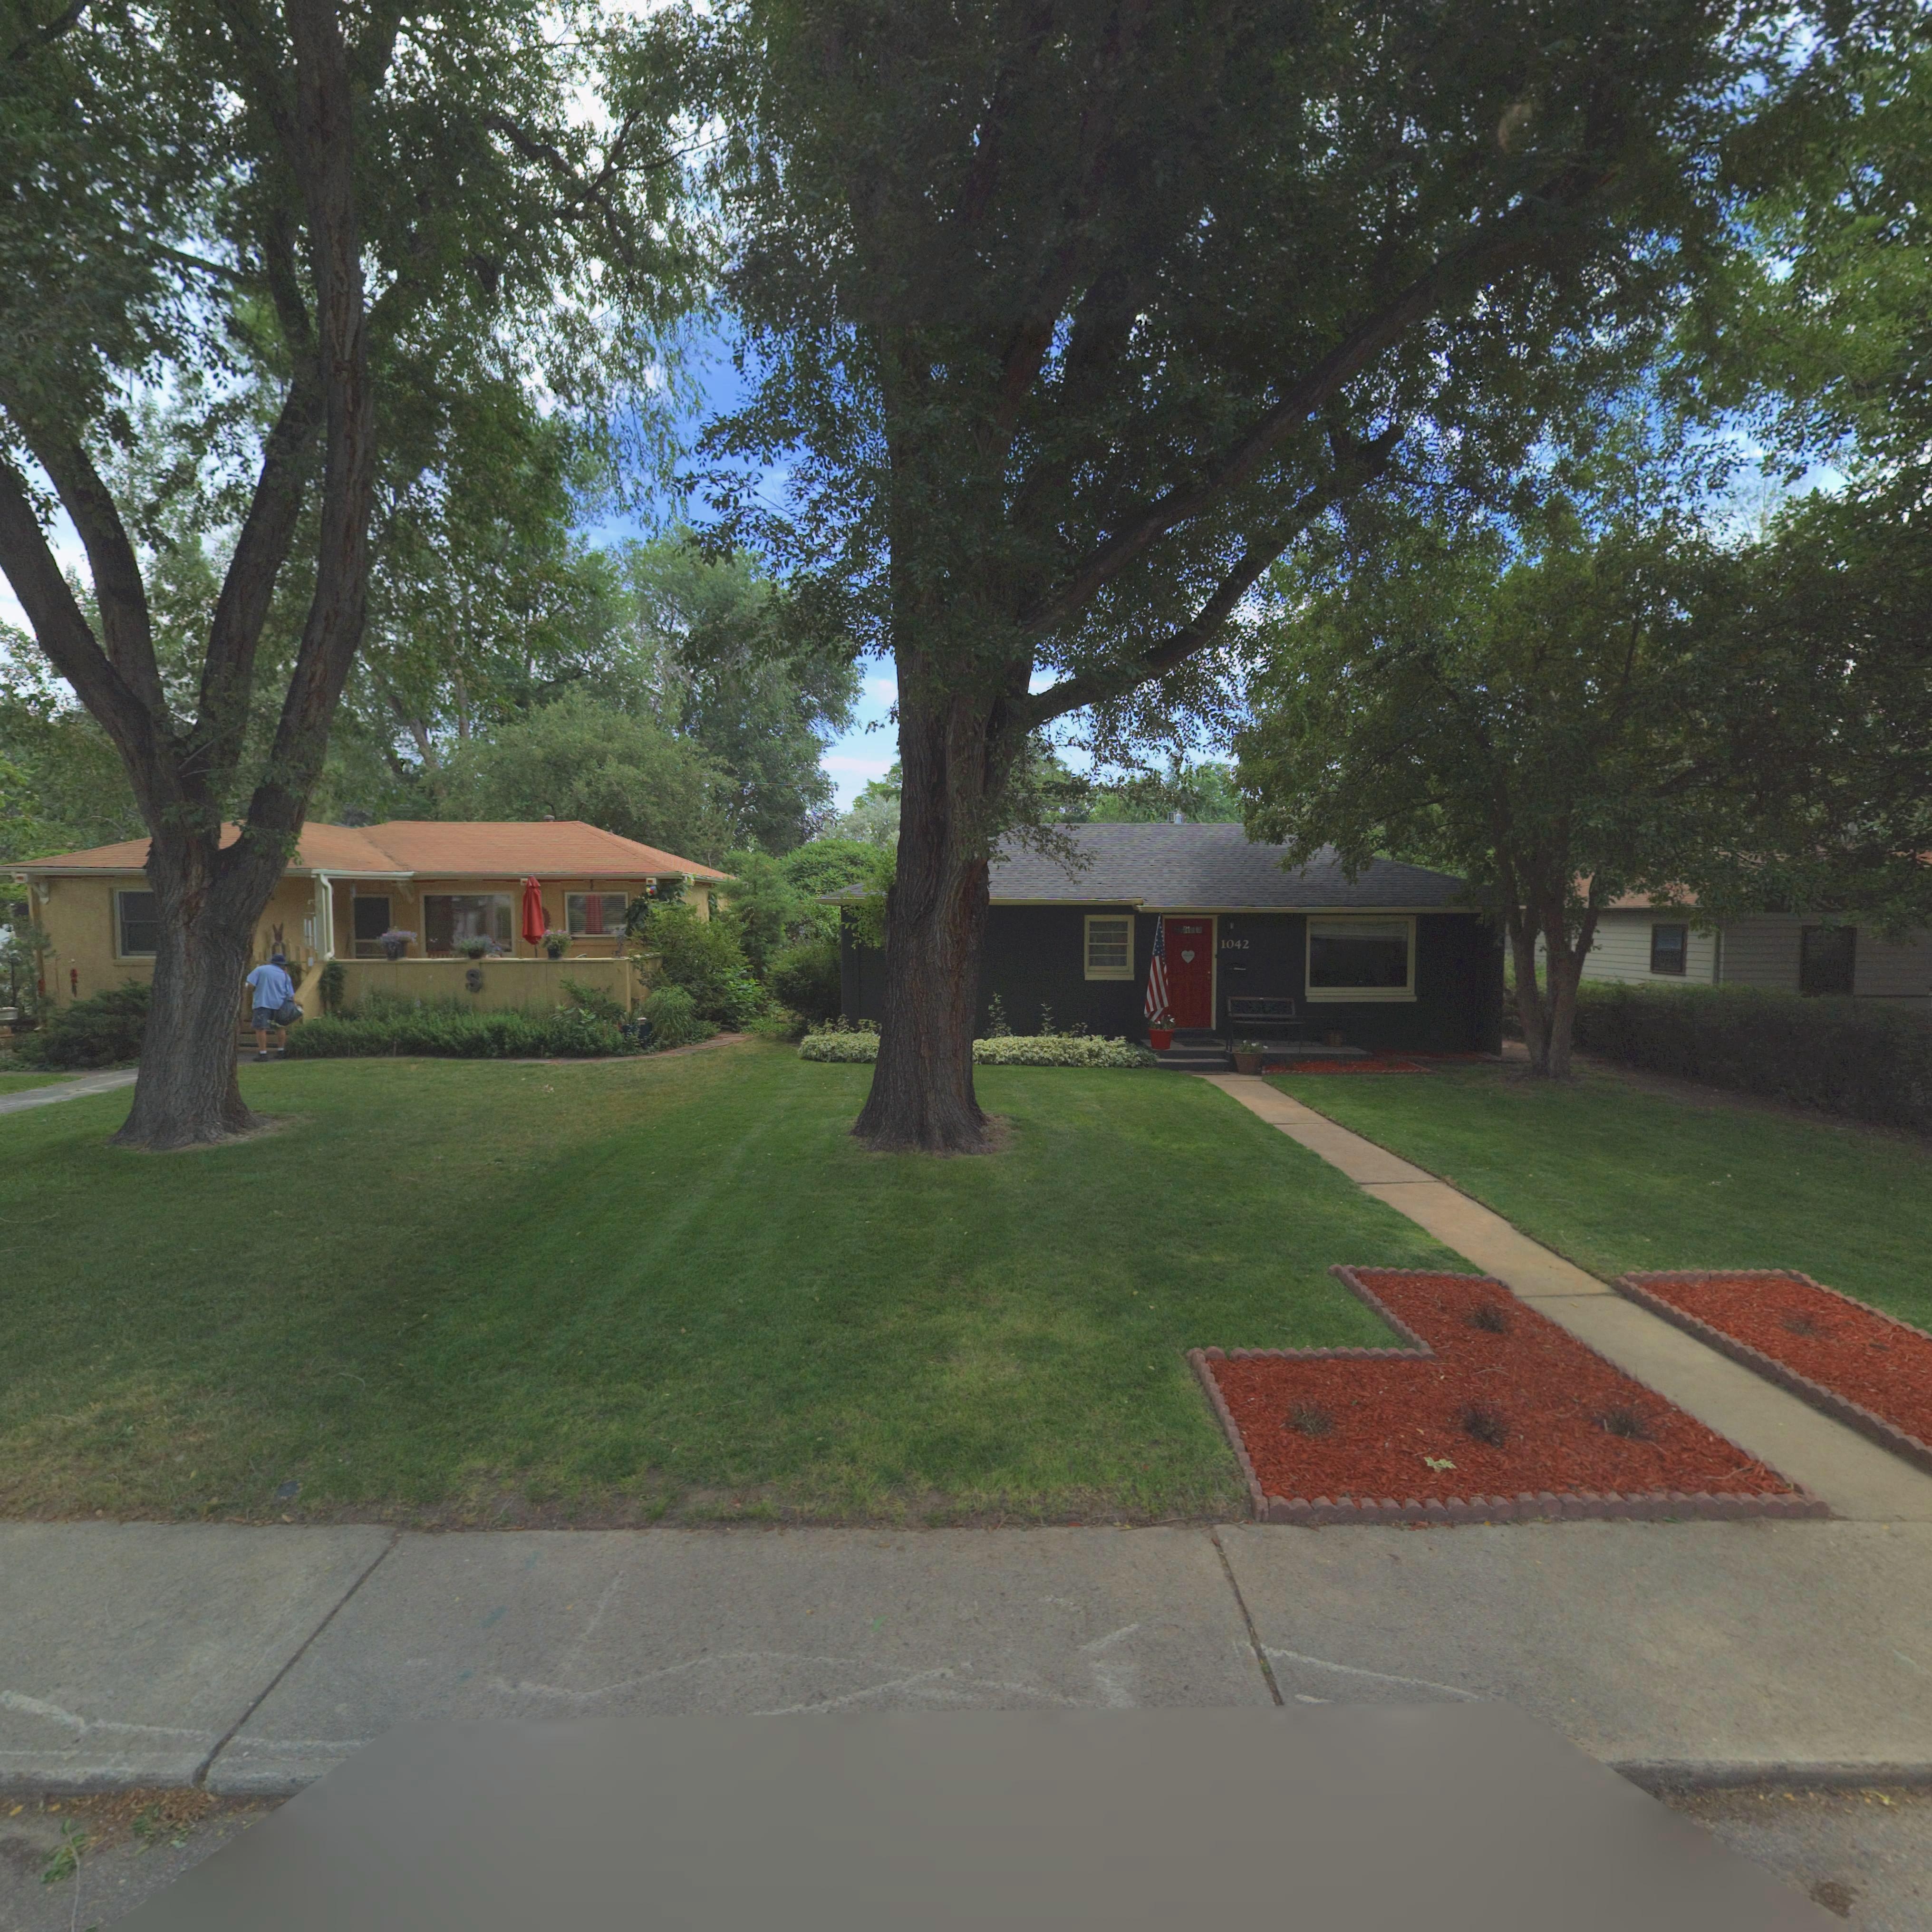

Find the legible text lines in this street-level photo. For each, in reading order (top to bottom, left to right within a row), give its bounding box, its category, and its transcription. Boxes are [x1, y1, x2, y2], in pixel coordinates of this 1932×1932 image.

[1221, 940, 1248, 948] StreetNumber: 1042